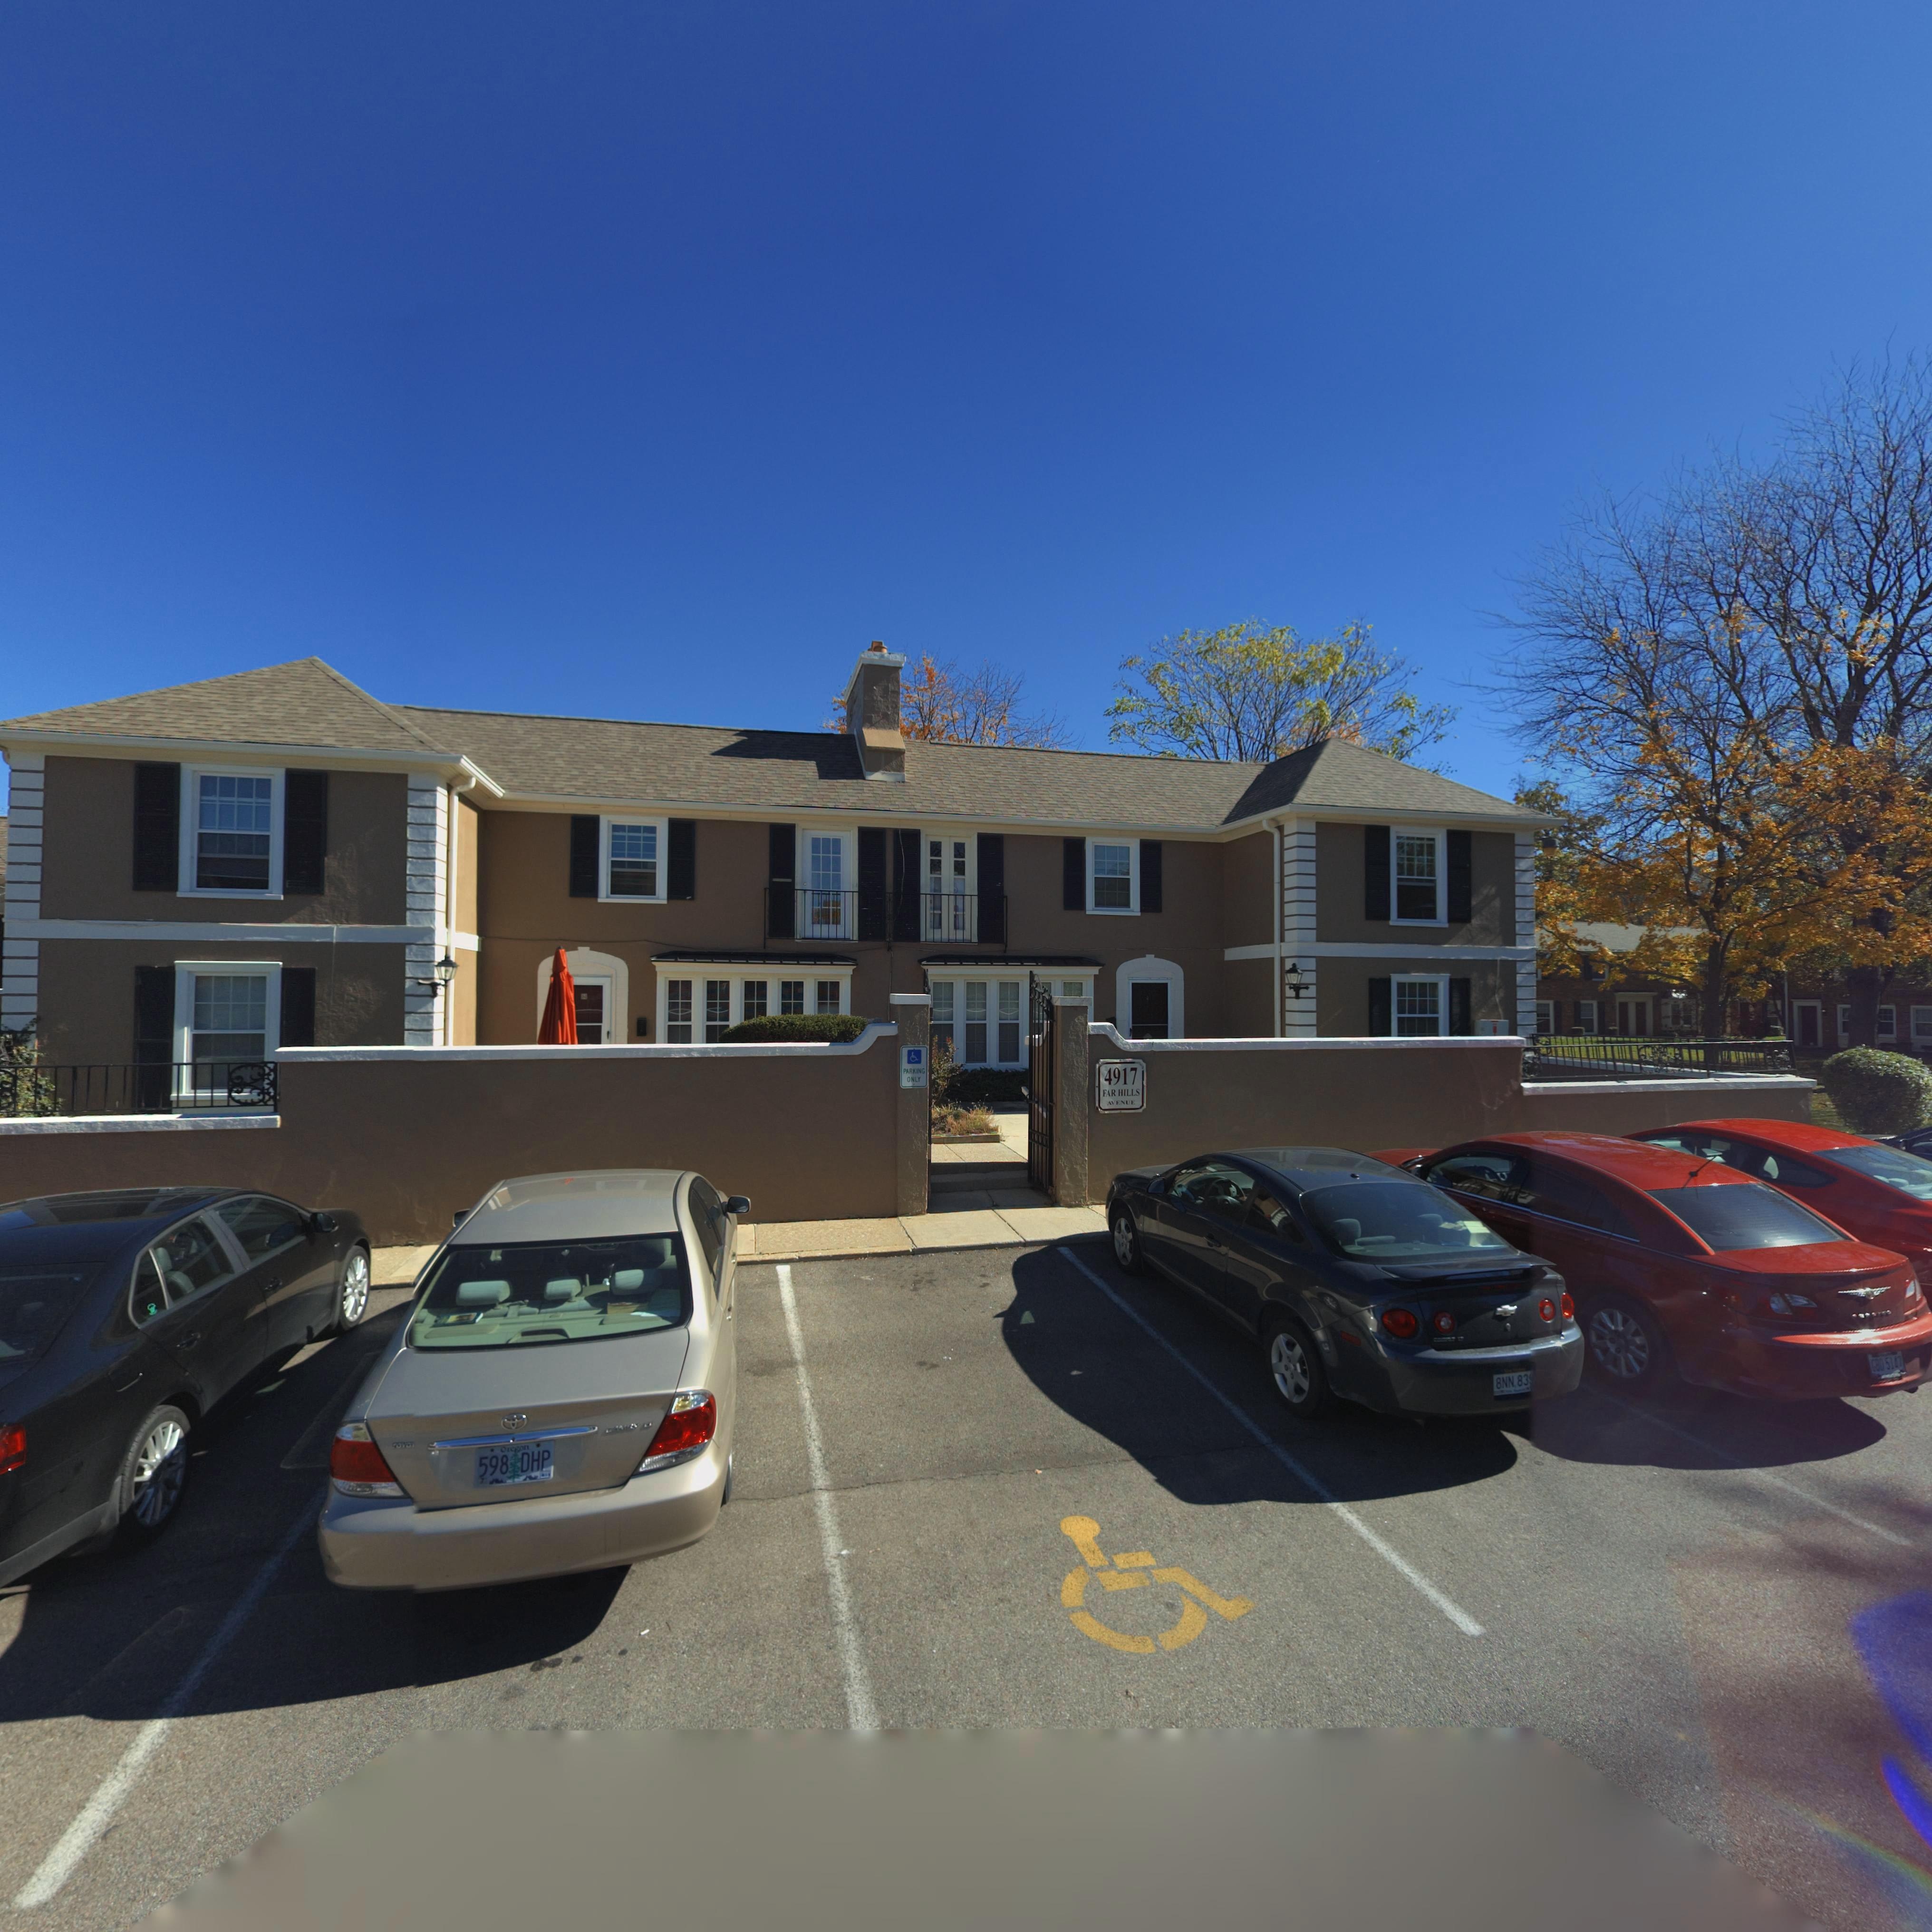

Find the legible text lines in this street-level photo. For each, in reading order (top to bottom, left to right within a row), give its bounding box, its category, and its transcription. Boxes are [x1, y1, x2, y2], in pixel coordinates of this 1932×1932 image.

[1103, 1066, 1138, 1086] StreetNumber: 4917